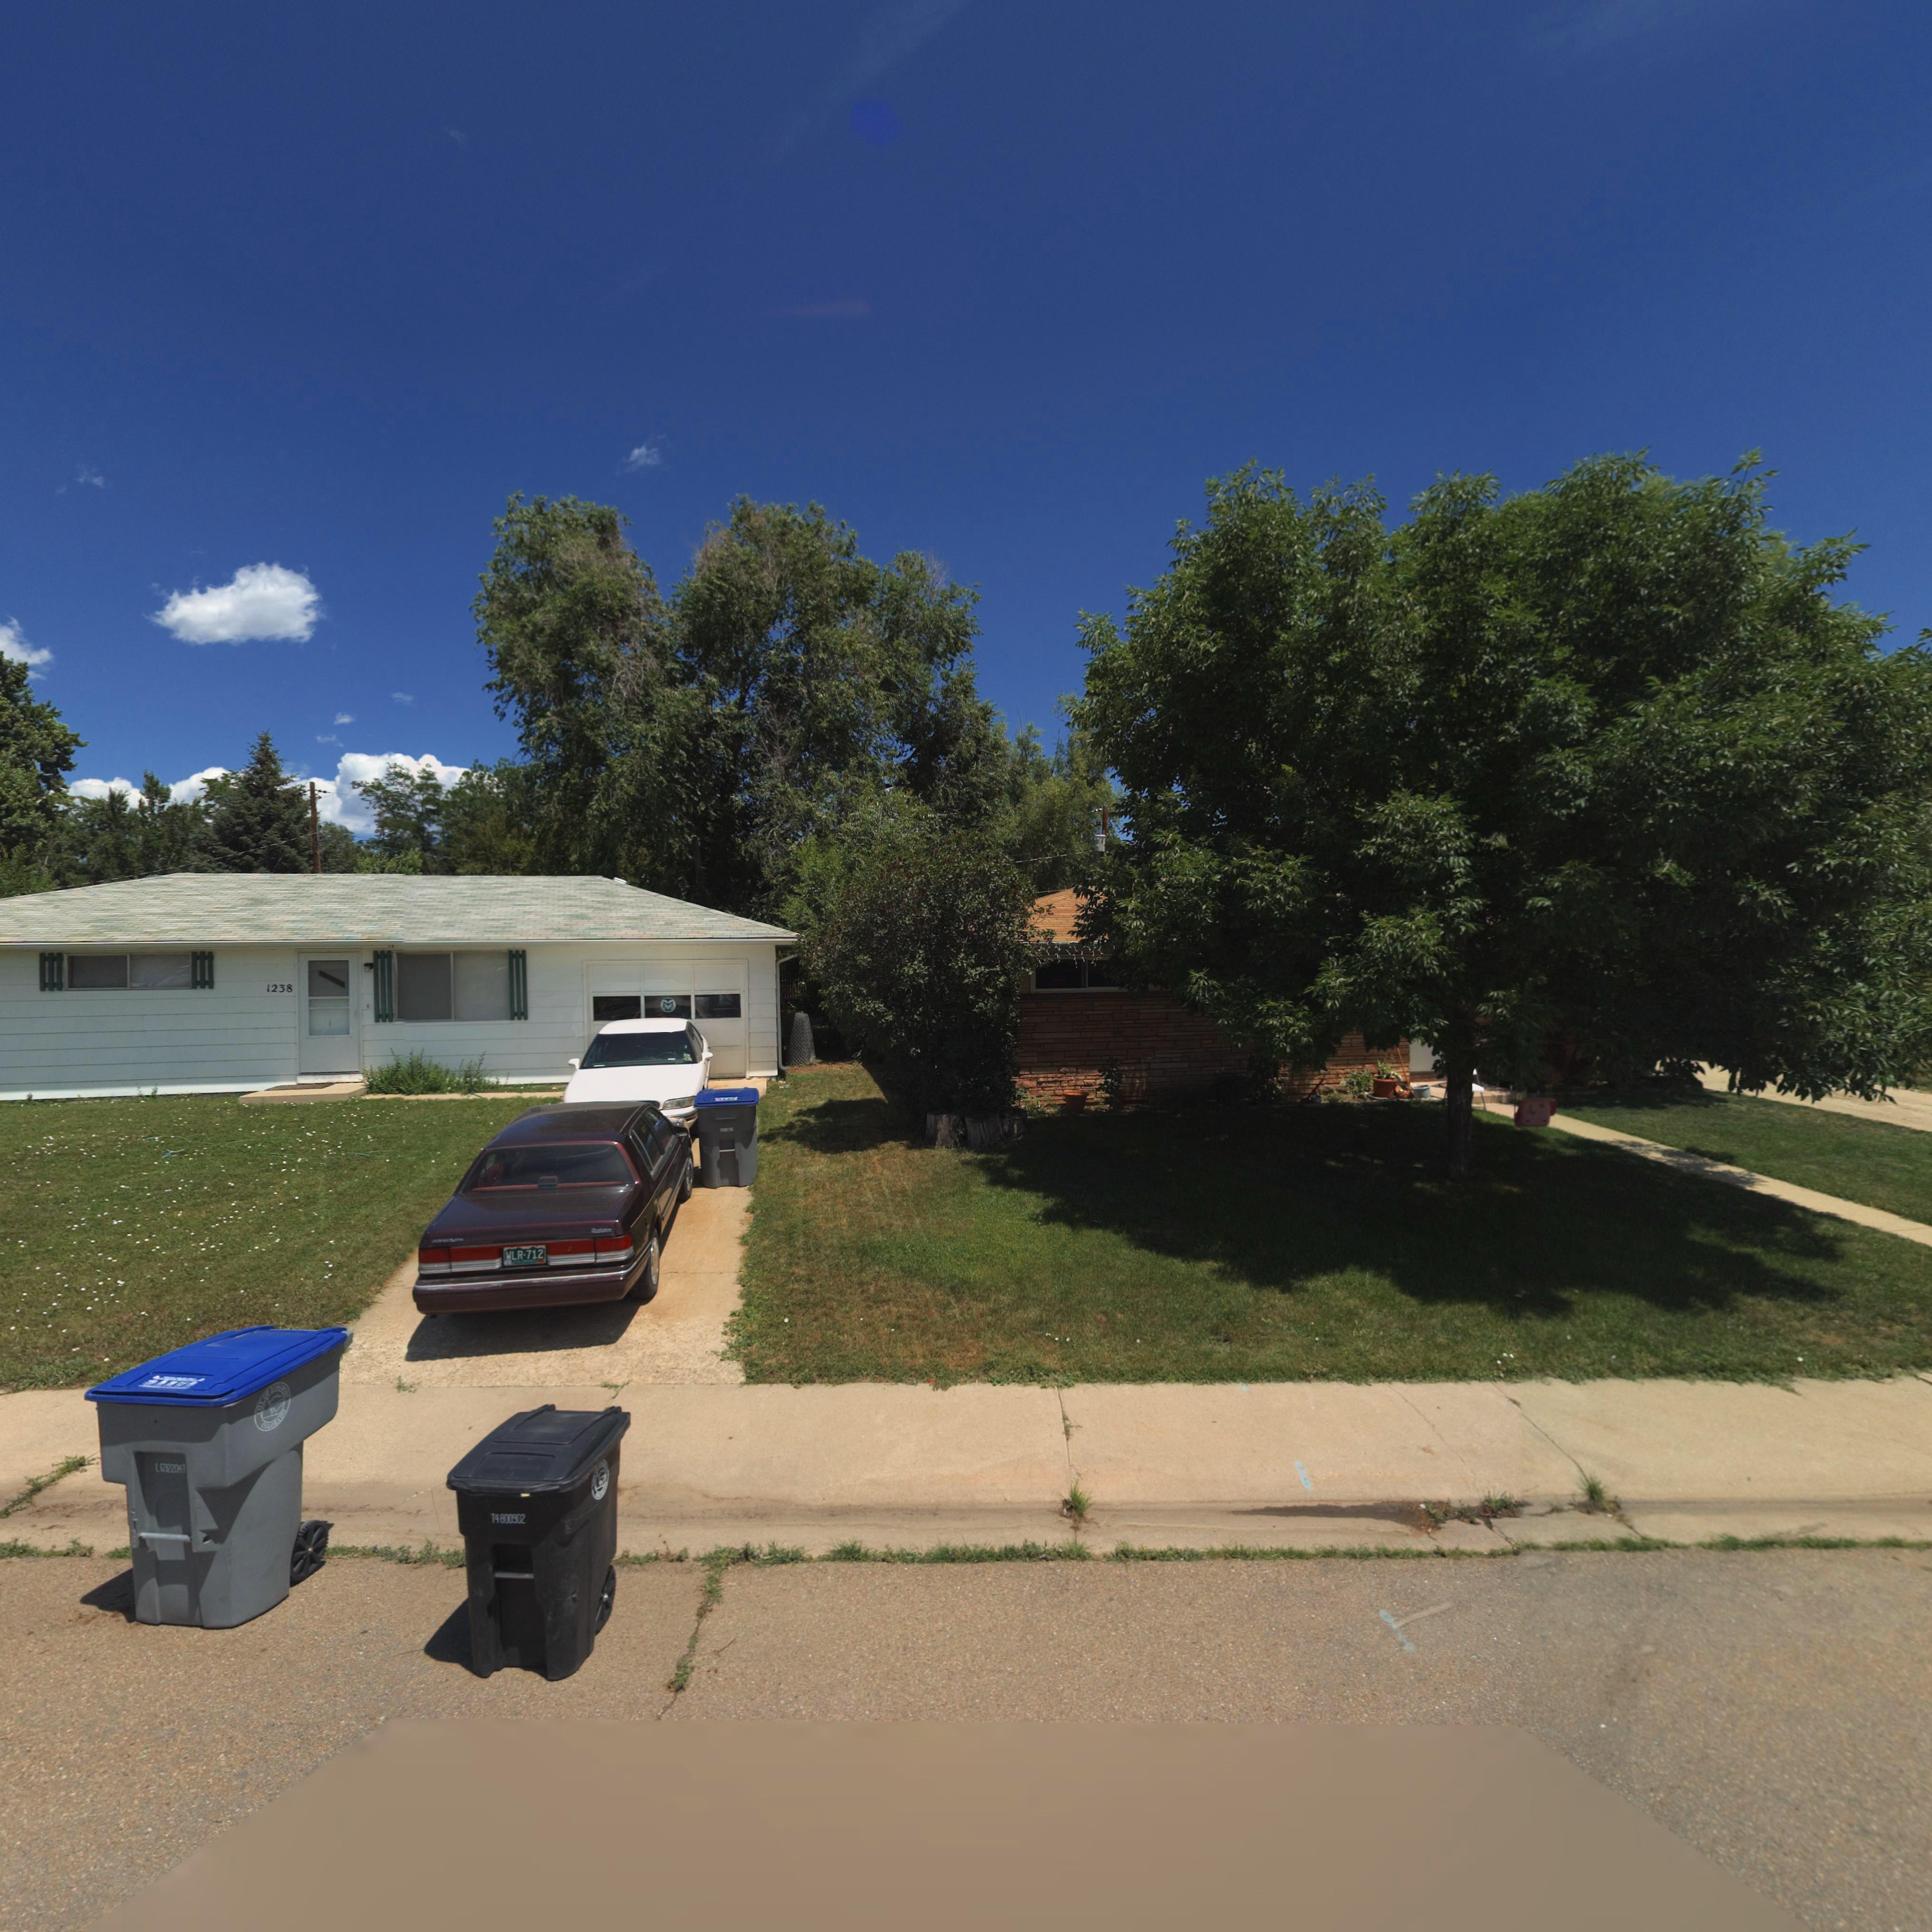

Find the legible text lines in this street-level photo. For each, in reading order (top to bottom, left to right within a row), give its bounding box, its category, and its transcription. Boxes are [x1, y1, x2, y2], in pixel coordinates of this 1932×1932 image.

[266, 984, 293, 992] StreetNumber: 1238